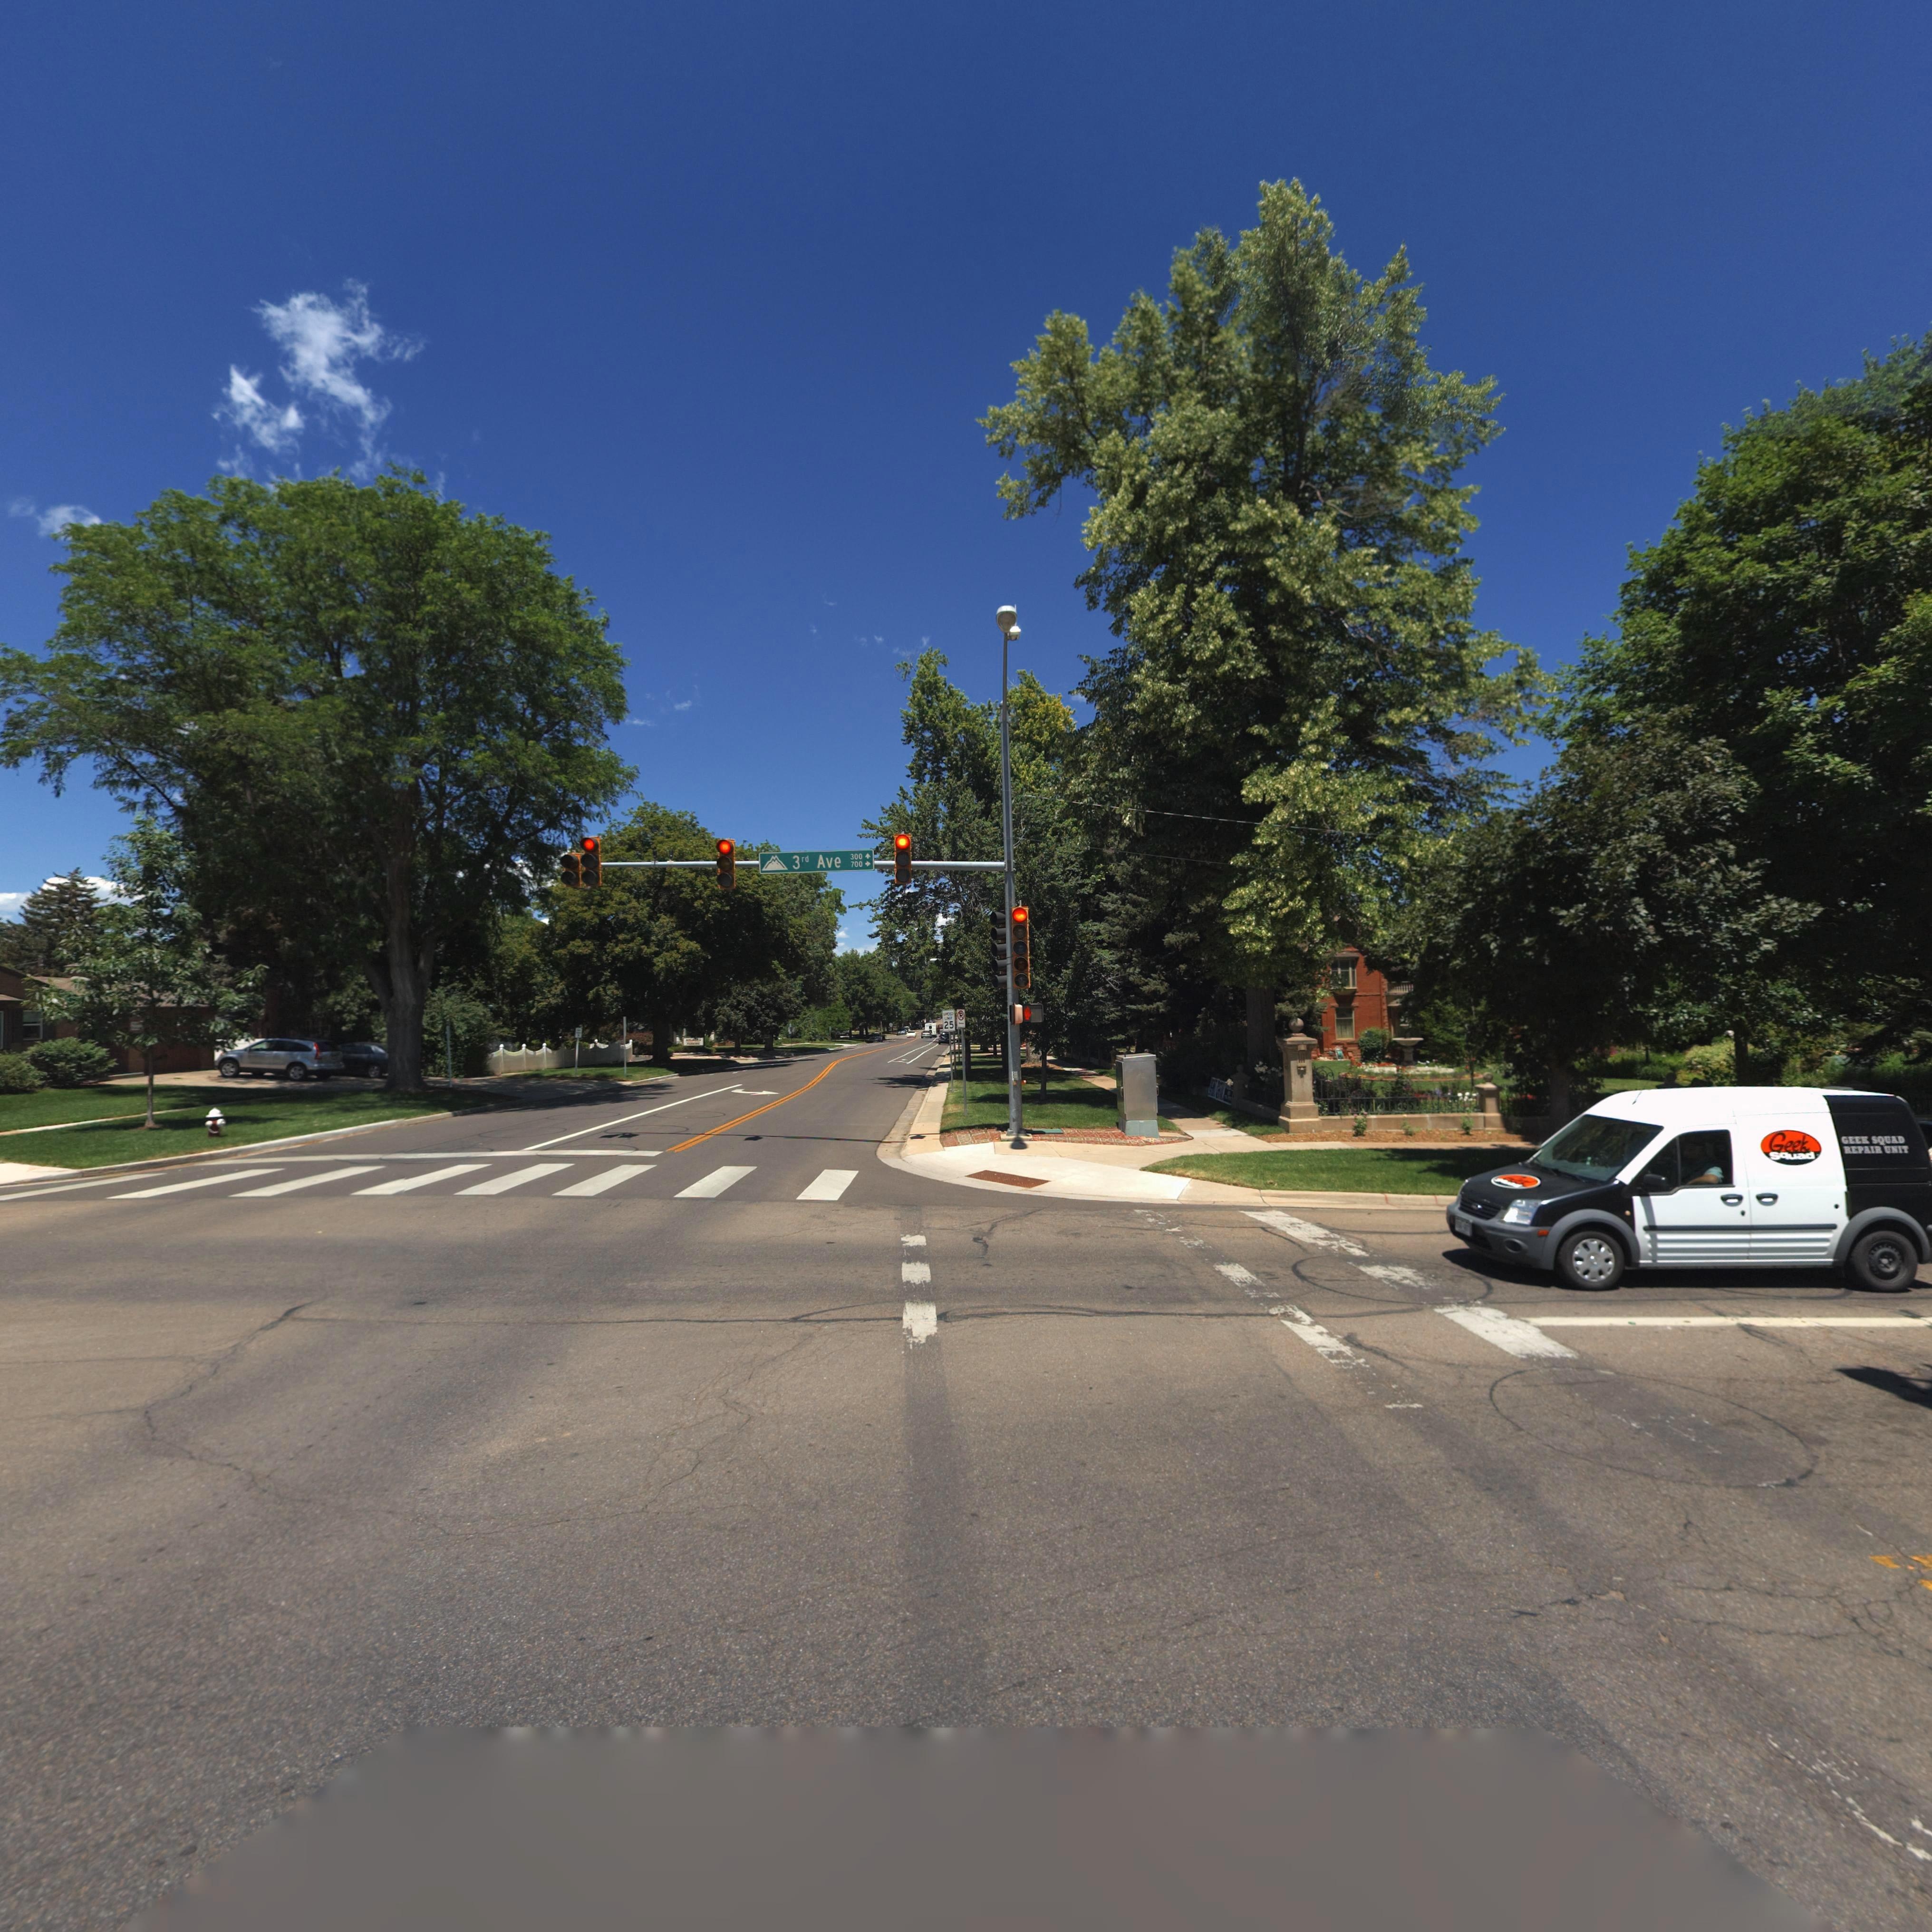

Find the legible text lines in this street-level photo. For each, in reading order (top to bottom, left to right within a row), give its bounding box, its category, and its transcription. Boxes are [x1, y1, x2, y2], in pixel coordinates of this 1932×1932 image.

[850, 853, 862, 860] StreetNumberRange: 300
[792, 854, 841, 869] StreetName: 3rd Ave
[850, 860, 871, 868] StreetNumberRange: 700 ->